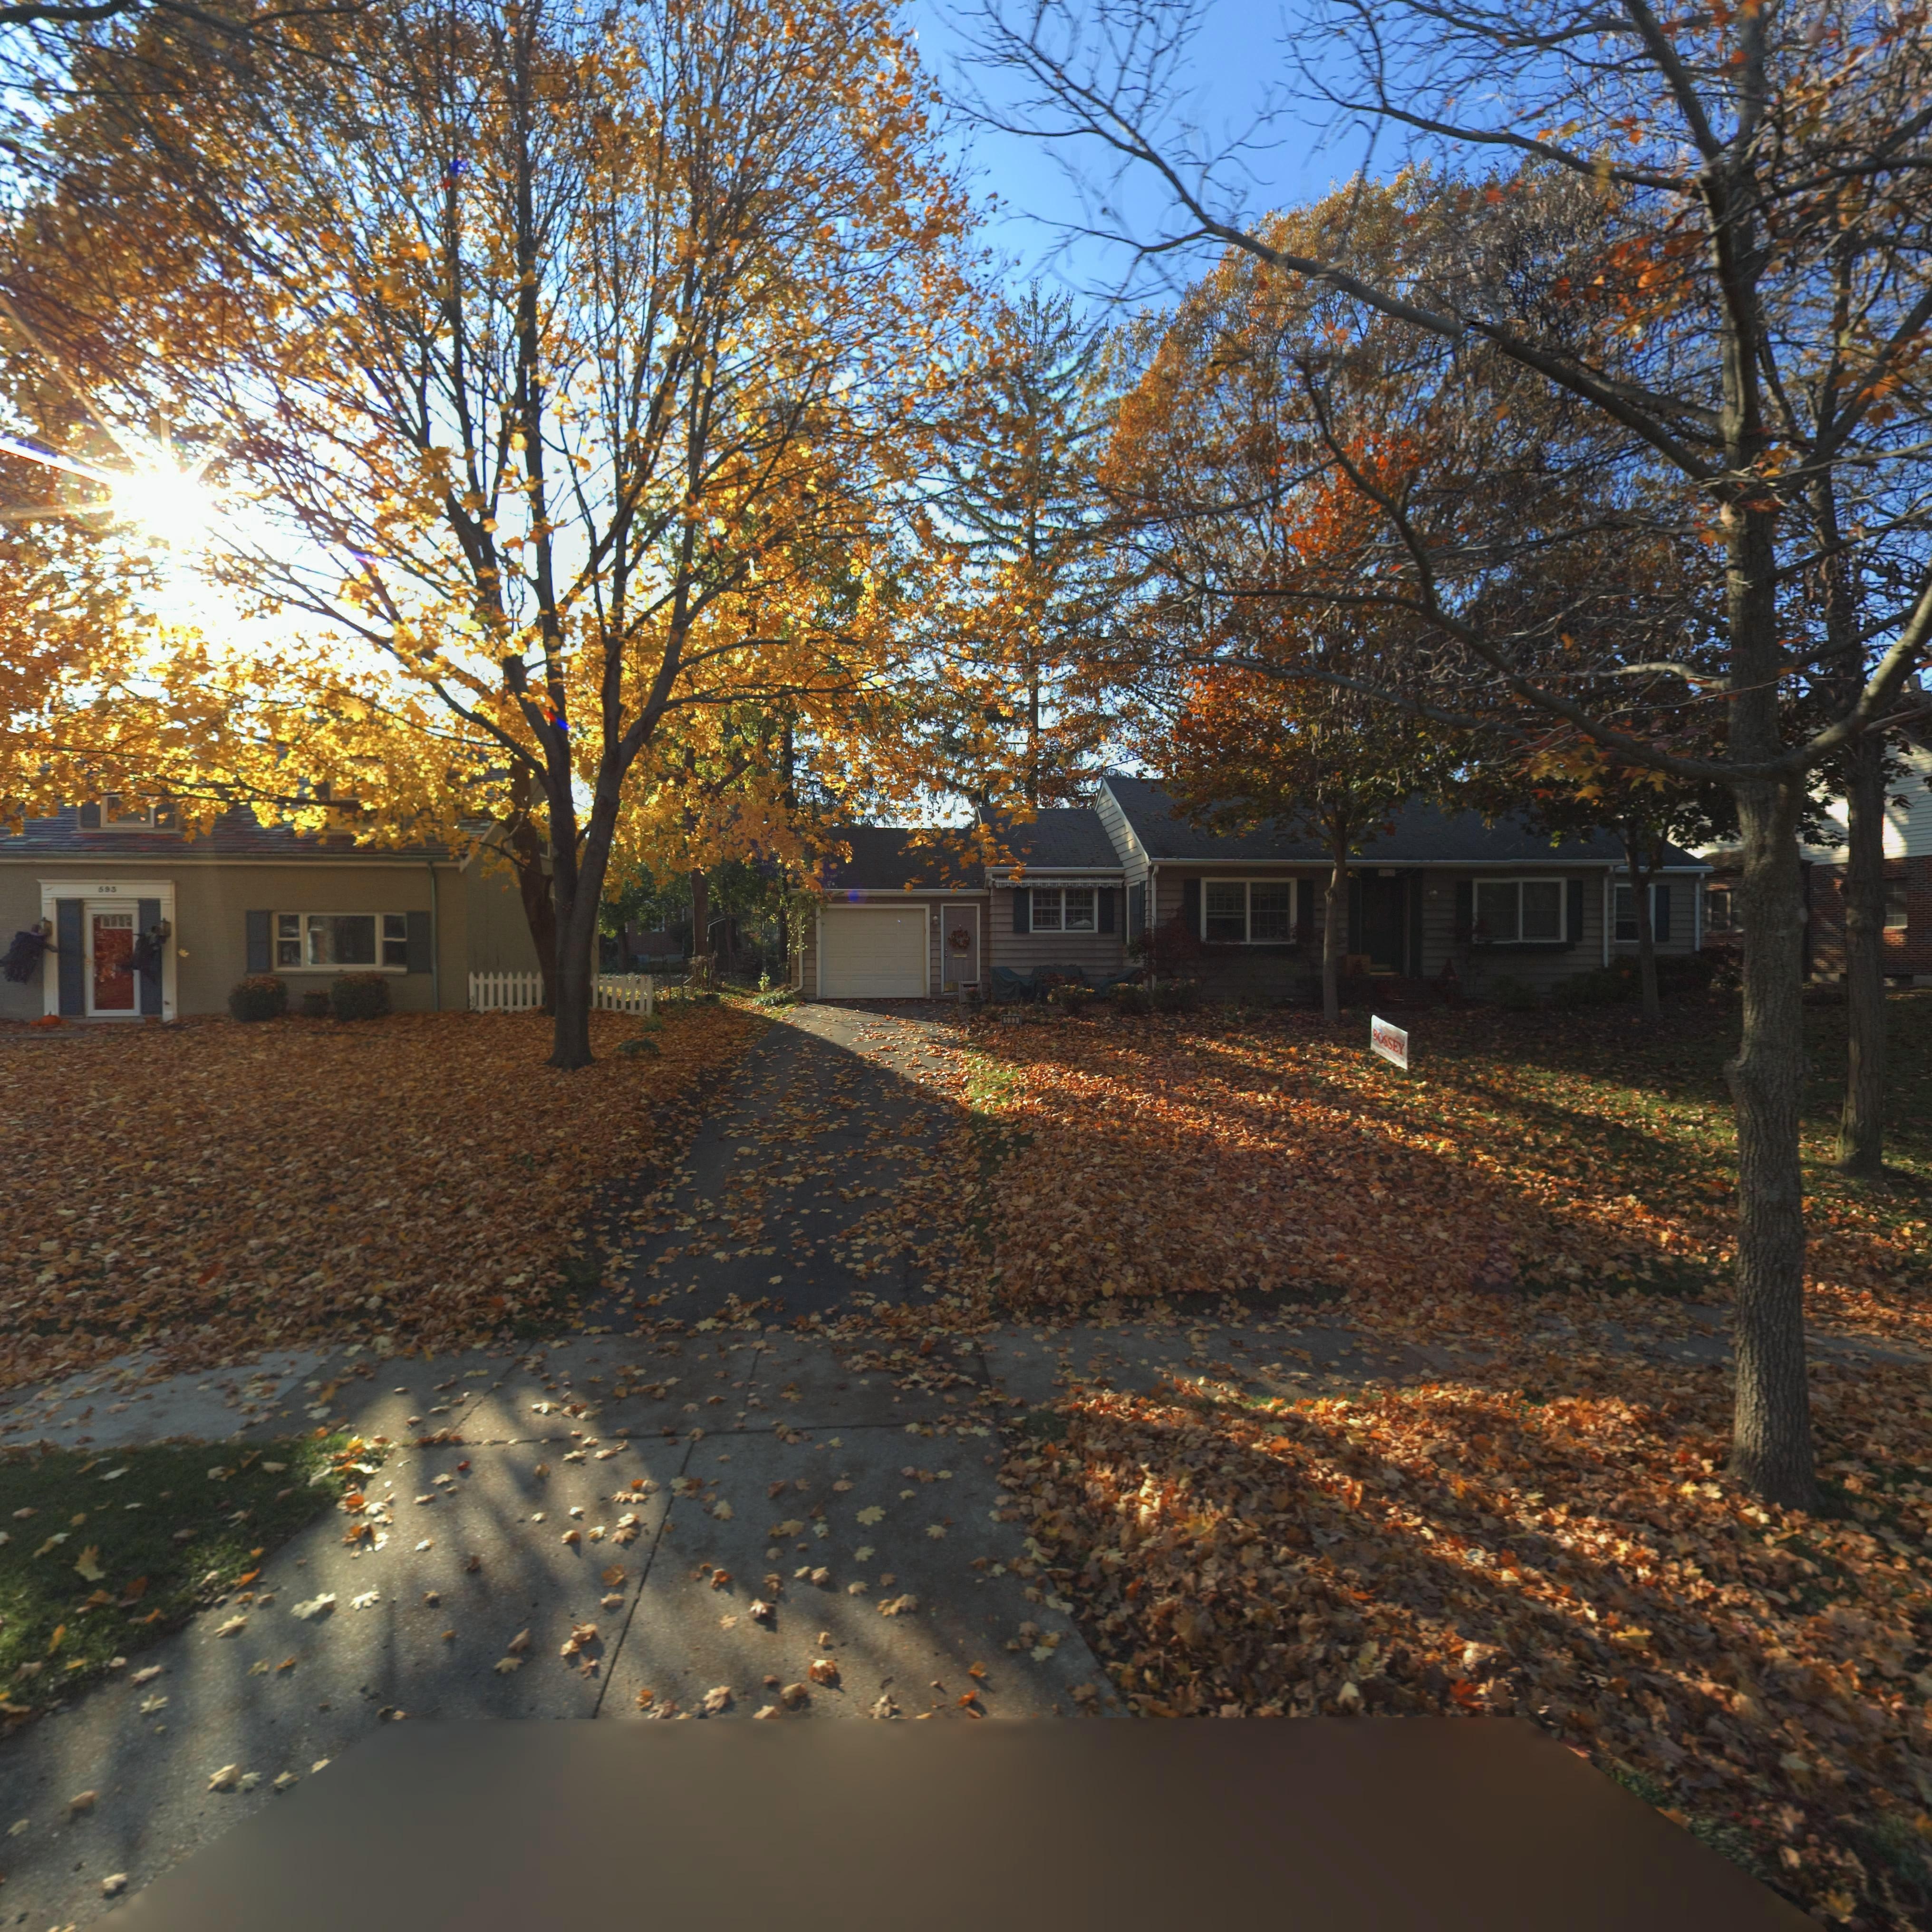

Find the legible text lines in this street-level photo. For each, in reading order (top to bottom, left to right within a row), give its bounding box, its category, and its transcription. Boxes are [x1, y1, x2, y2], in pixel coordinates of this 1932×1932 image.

[98, 886, 117, 893] StreetNumber: 593